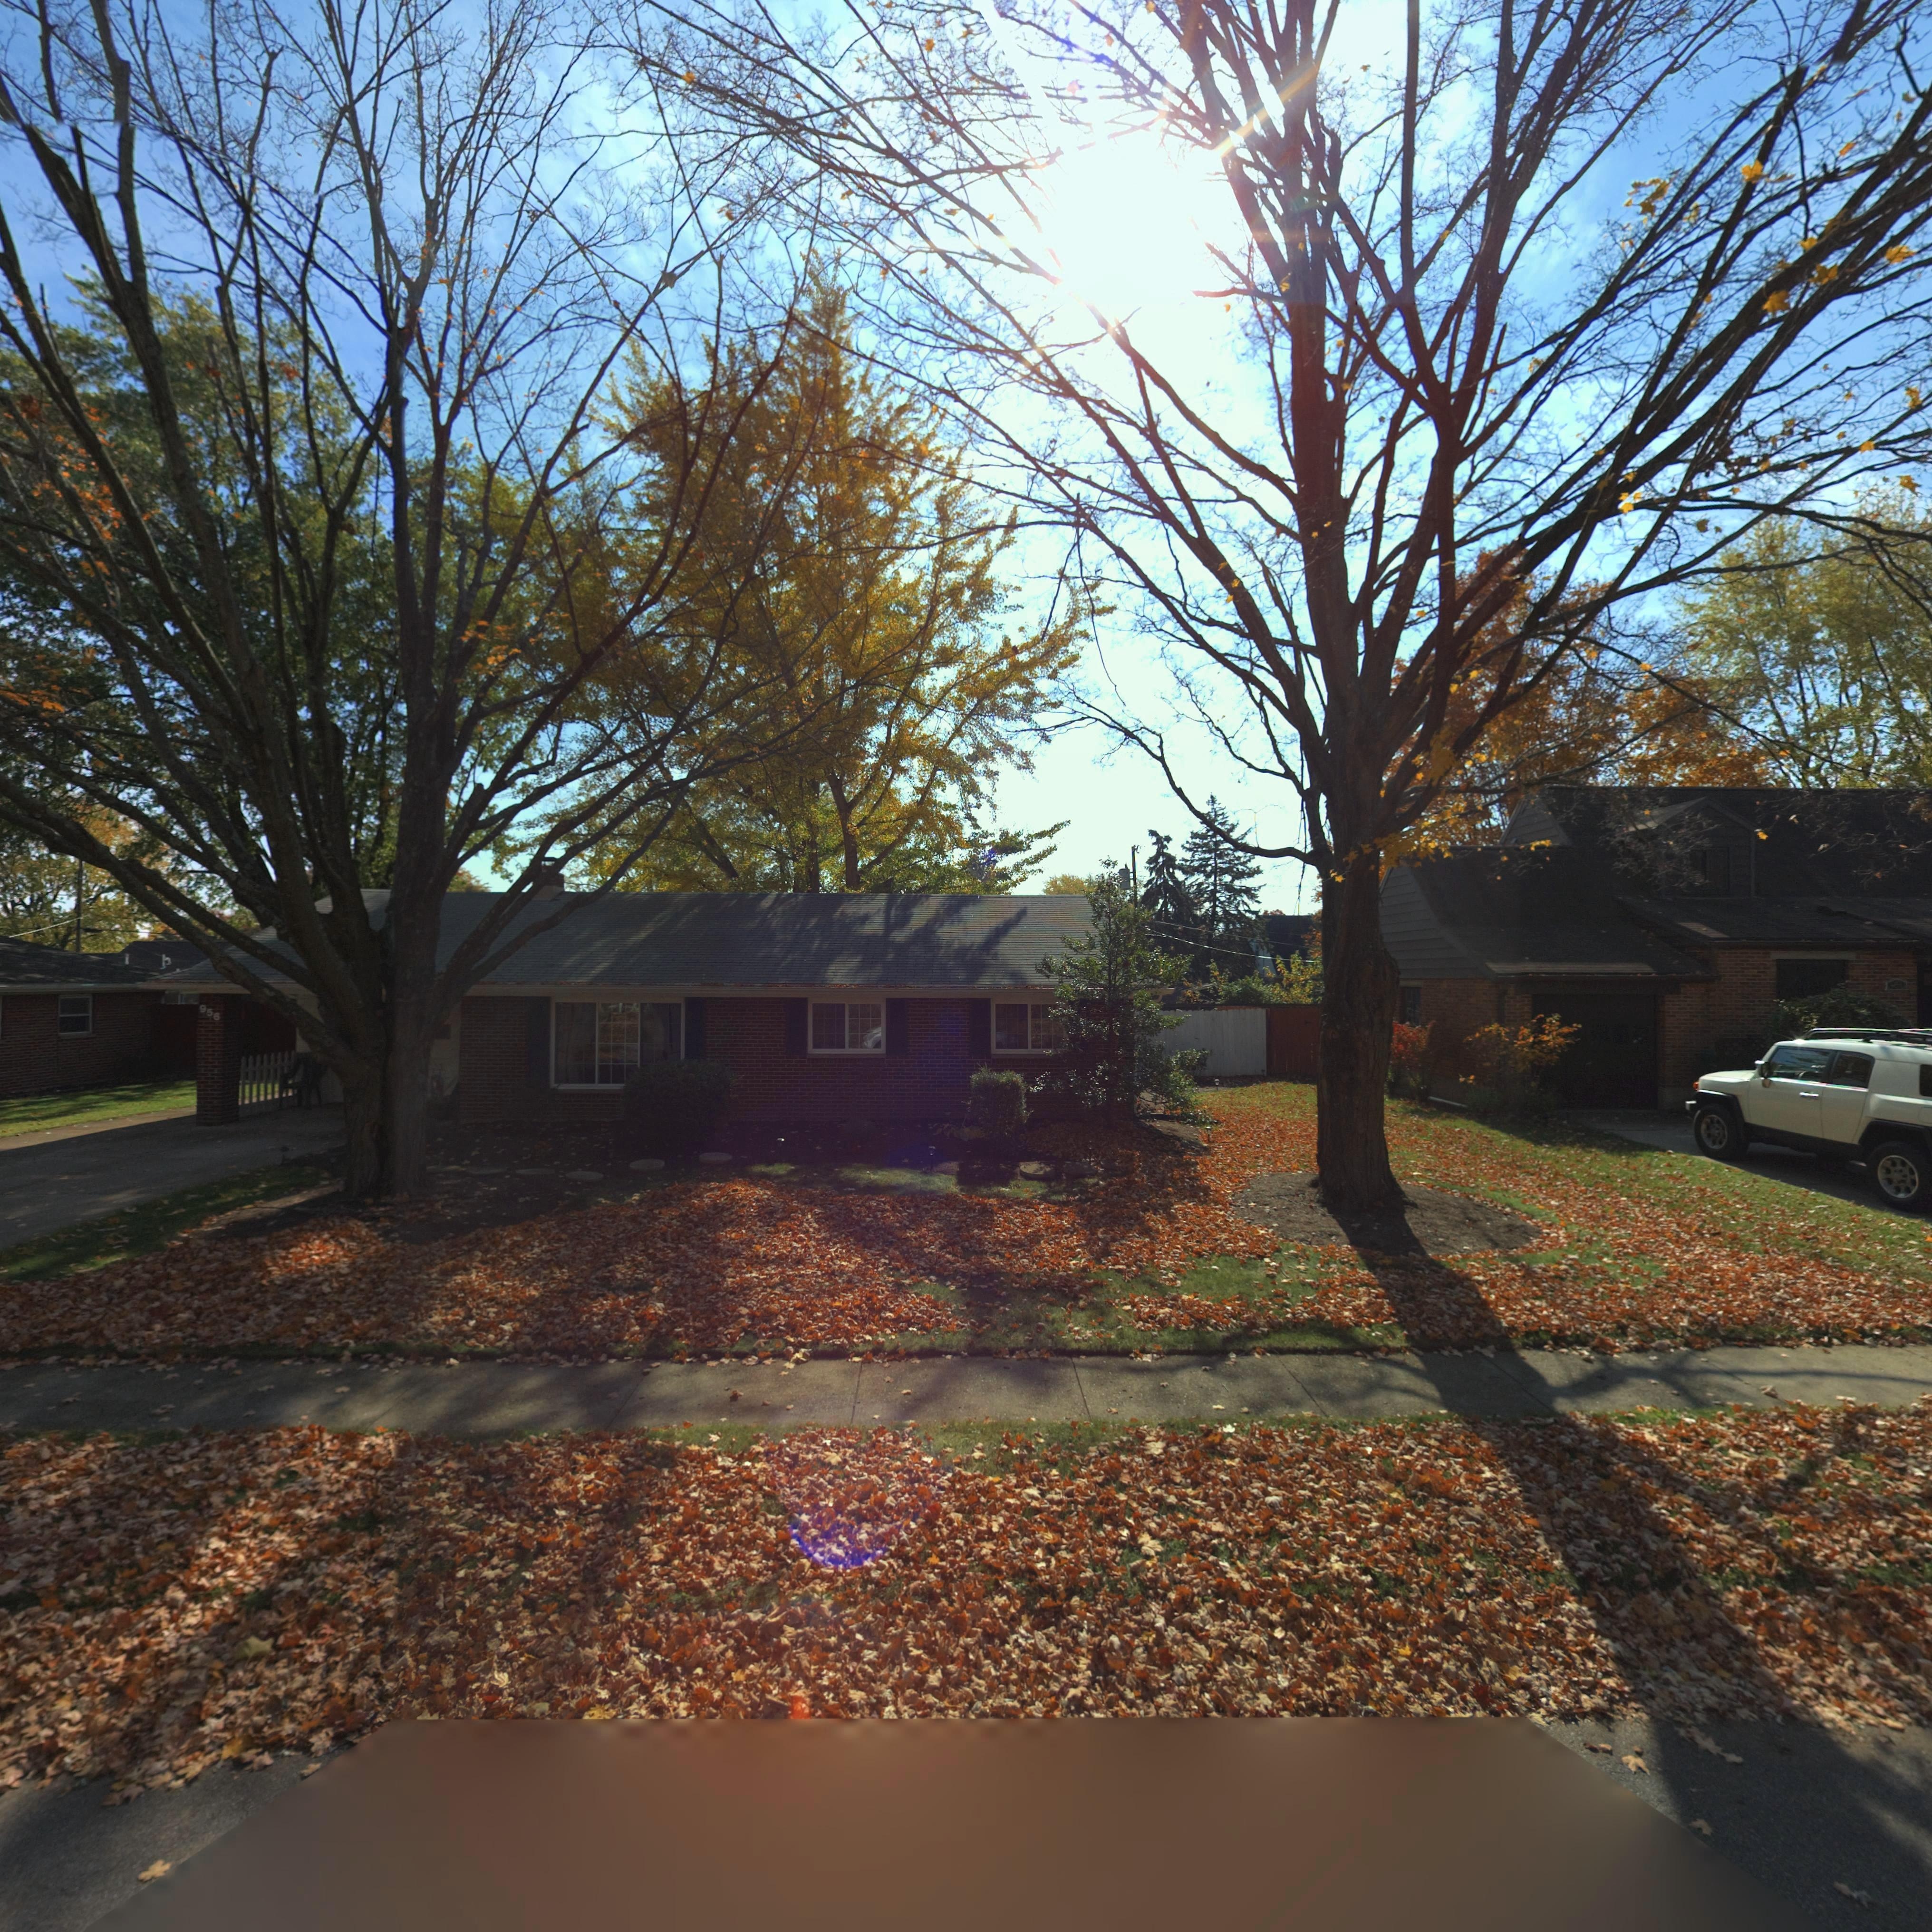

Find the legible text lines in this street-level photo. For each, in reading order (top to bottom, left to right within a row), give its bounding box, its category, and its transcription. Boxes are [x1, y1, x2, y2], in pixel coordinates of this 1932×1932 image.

[198, 1003, 222, 1022] StreetNumber: 956